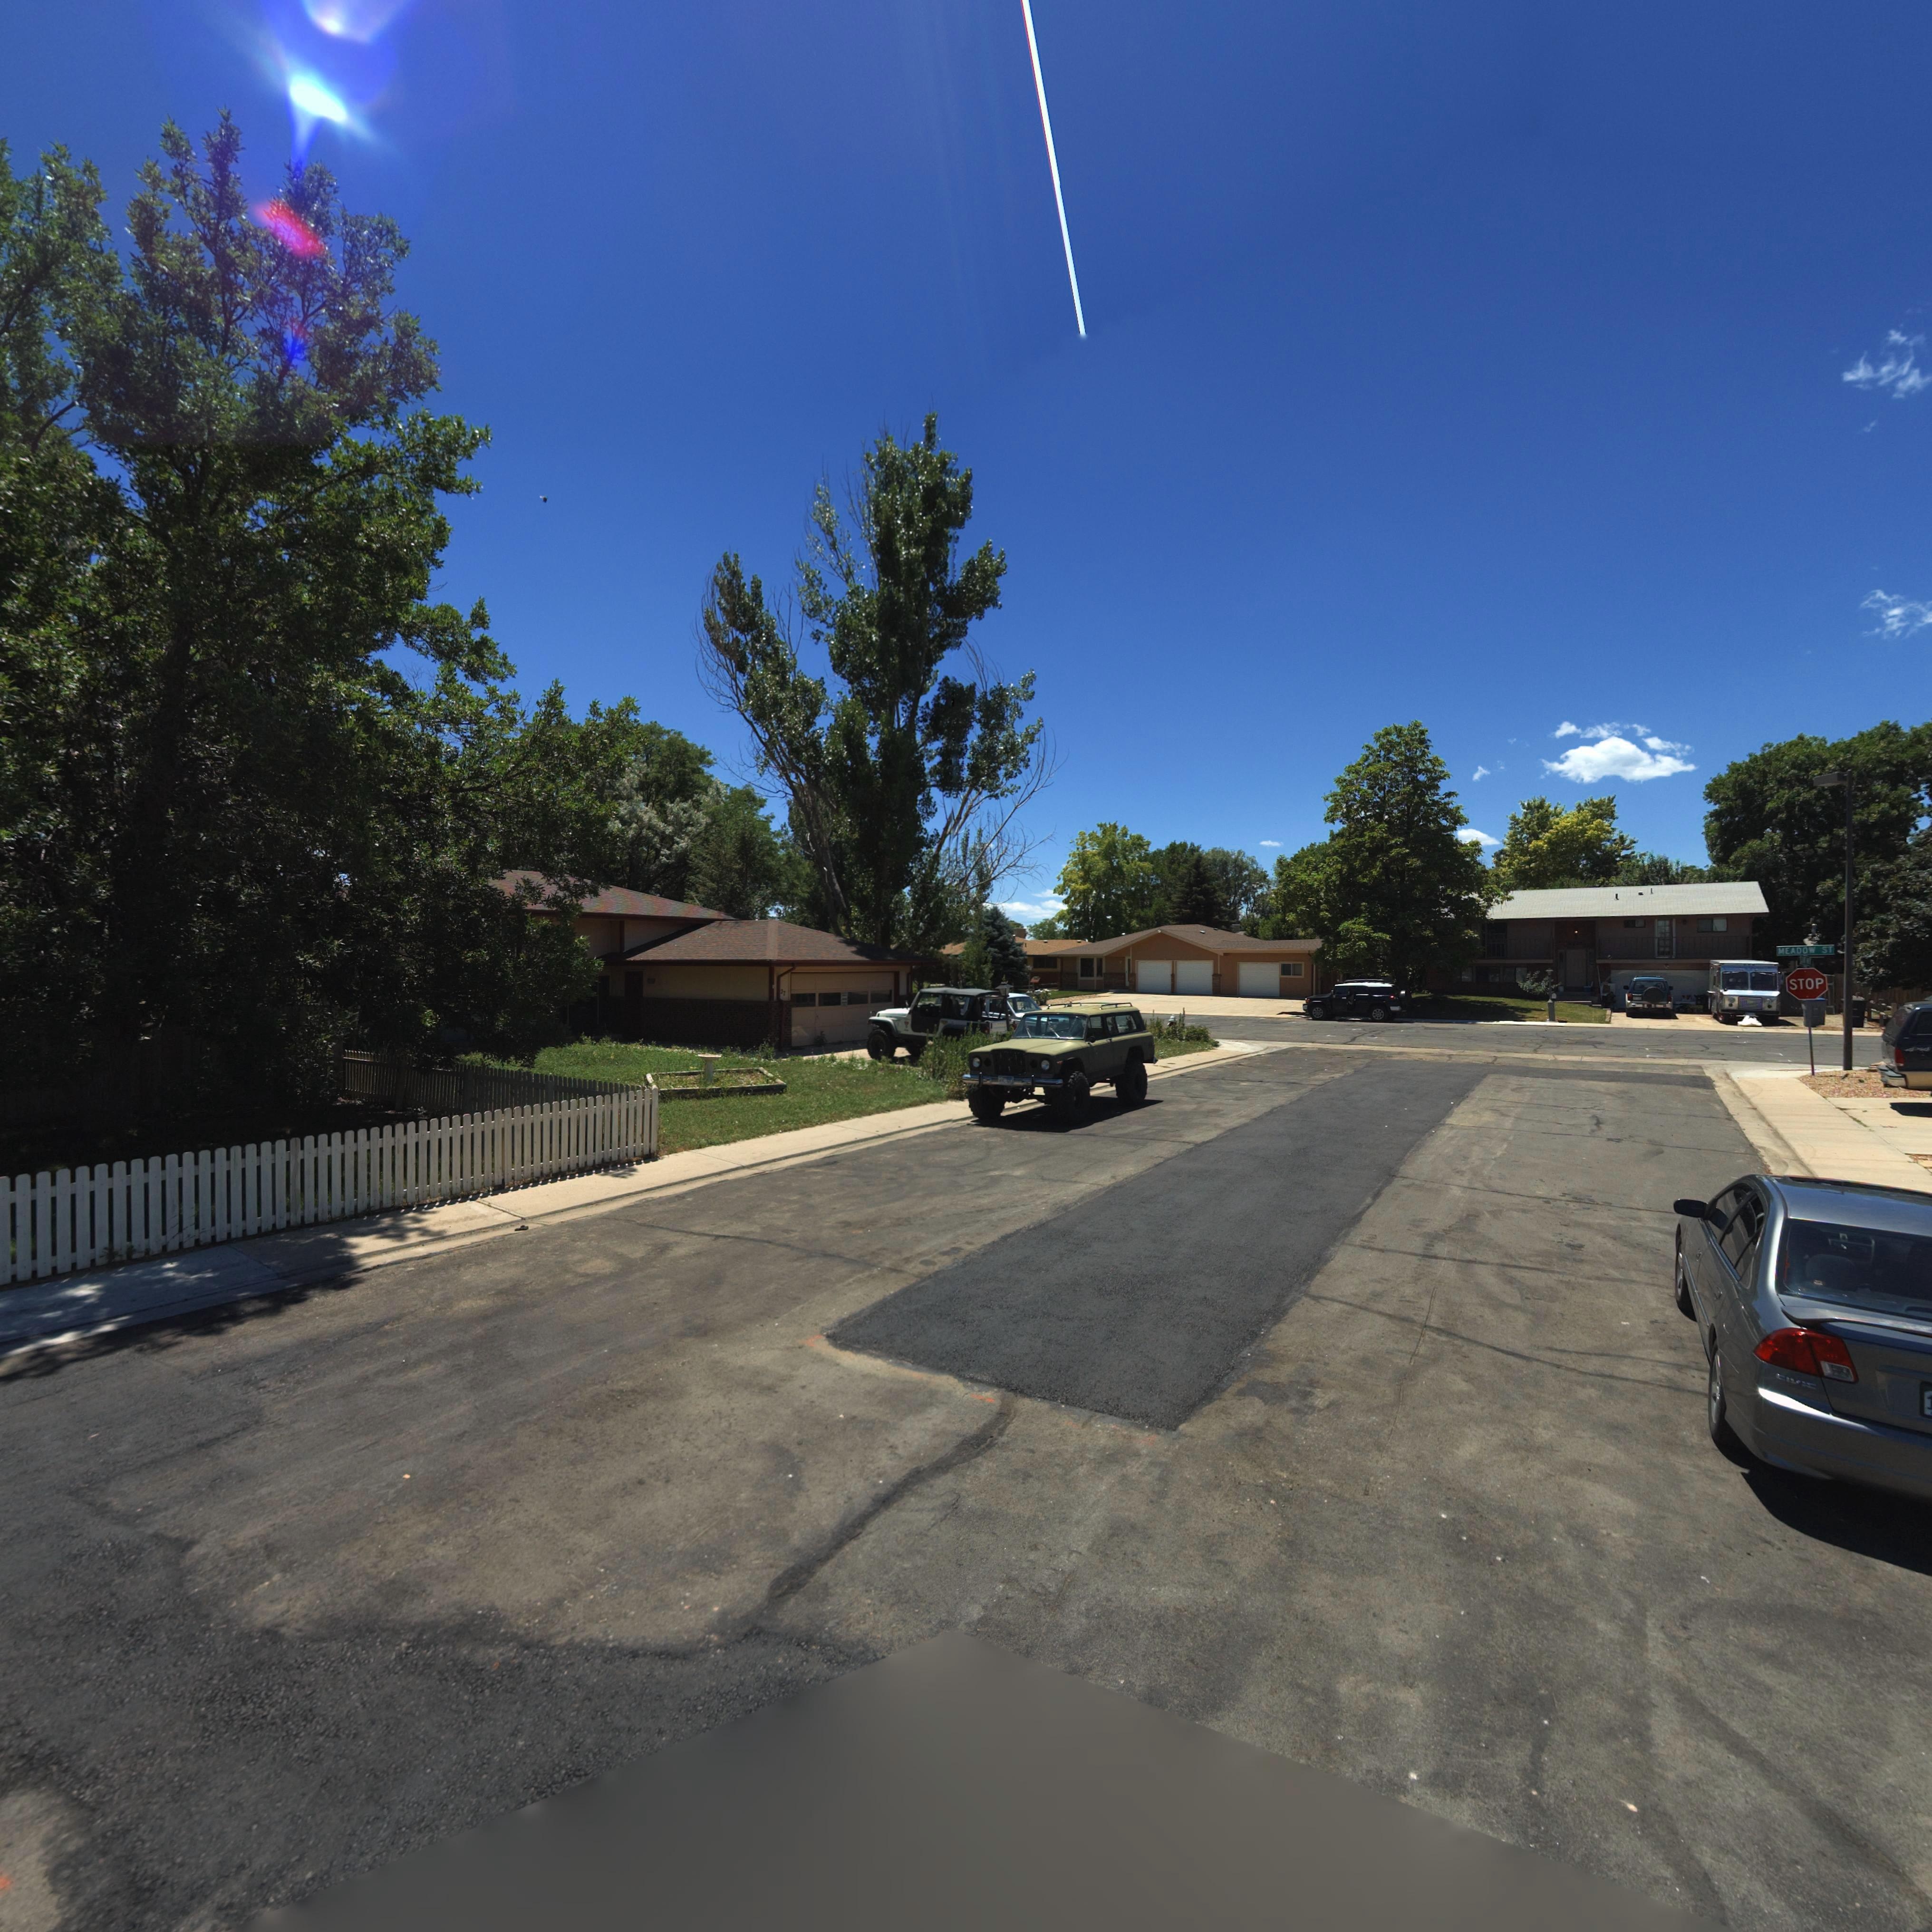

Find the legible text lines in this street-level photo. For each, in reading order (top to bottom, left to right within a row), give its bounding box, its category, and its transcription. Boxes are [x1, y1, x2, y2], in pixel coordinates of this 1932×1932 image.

[1777, 946, 1833, 954] StreetName: MEADOW ST
[780, 988, 786, 996] StreetNumber: 27